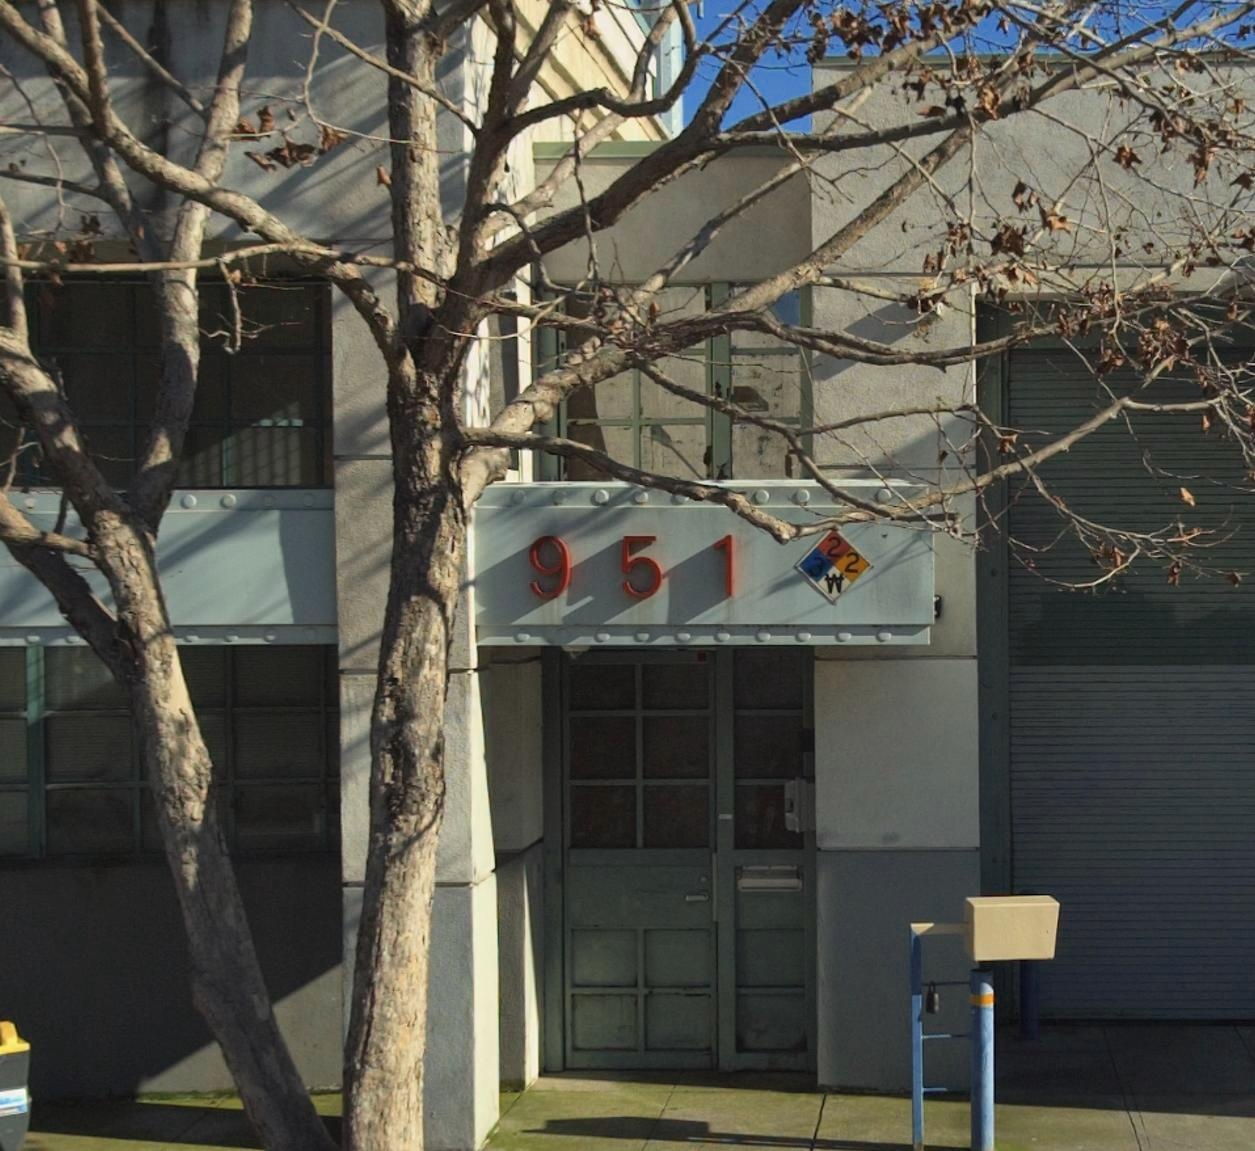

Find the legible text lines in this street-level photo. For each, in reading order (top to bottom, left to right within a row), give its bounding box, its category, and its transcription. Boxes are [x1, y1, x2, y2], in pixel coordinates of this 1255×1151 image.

[826, 534, 842, 558] None: 2
[528, 532, 738, 603] StreetNumber: 951
[807, 555, 826, 579] None: 3
[843, 550, 861, 574] None: 2